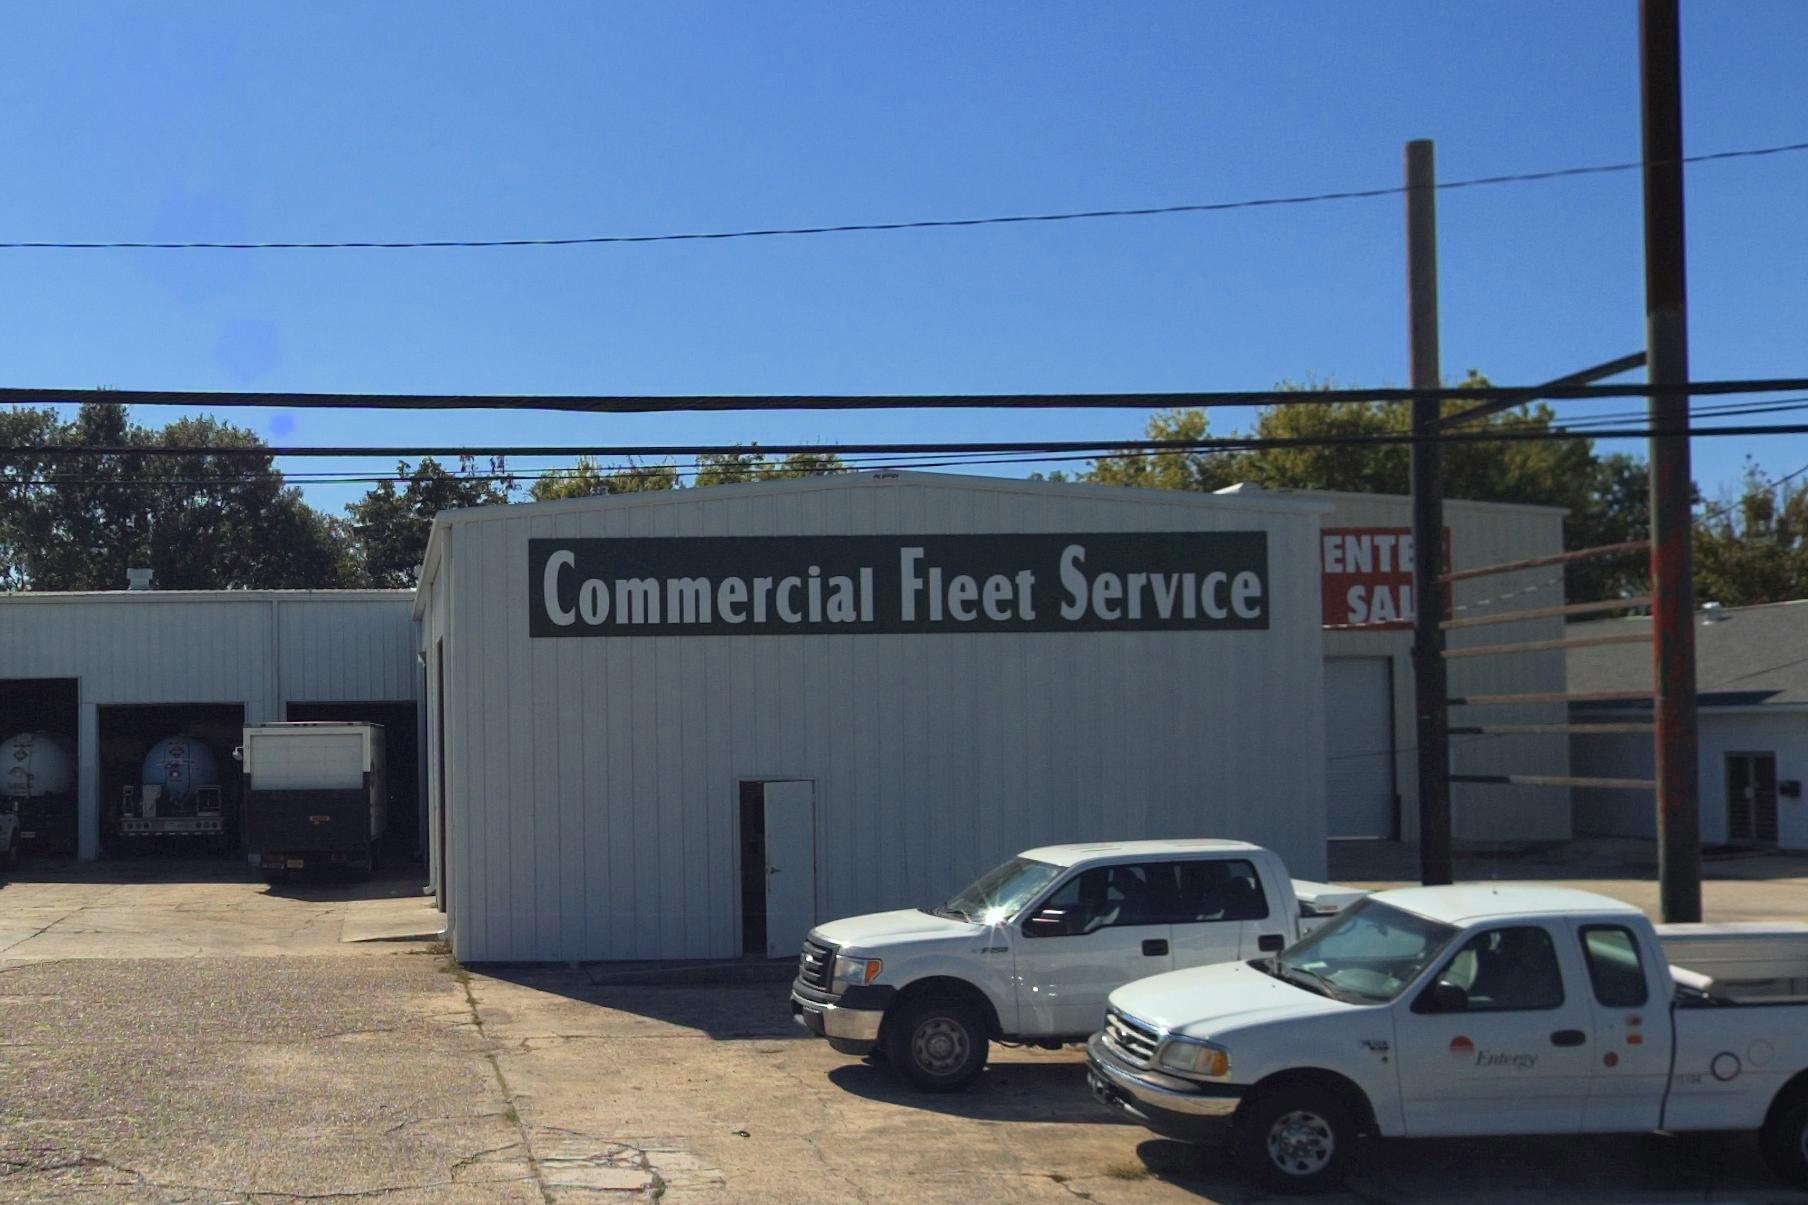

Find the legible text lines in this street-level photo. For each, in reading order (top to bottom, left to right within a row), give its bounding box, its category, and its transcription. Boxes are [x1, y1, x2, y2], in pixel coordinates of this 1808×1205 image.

[1320, 531, 1399, 577] None: ENT
[538, 541, 1268, 634] BusinessName: Commercial Fleet Service
[1341, 580, 1401, 625] None: SA
[1470, 1044, 1543, 1076] None: Entergy